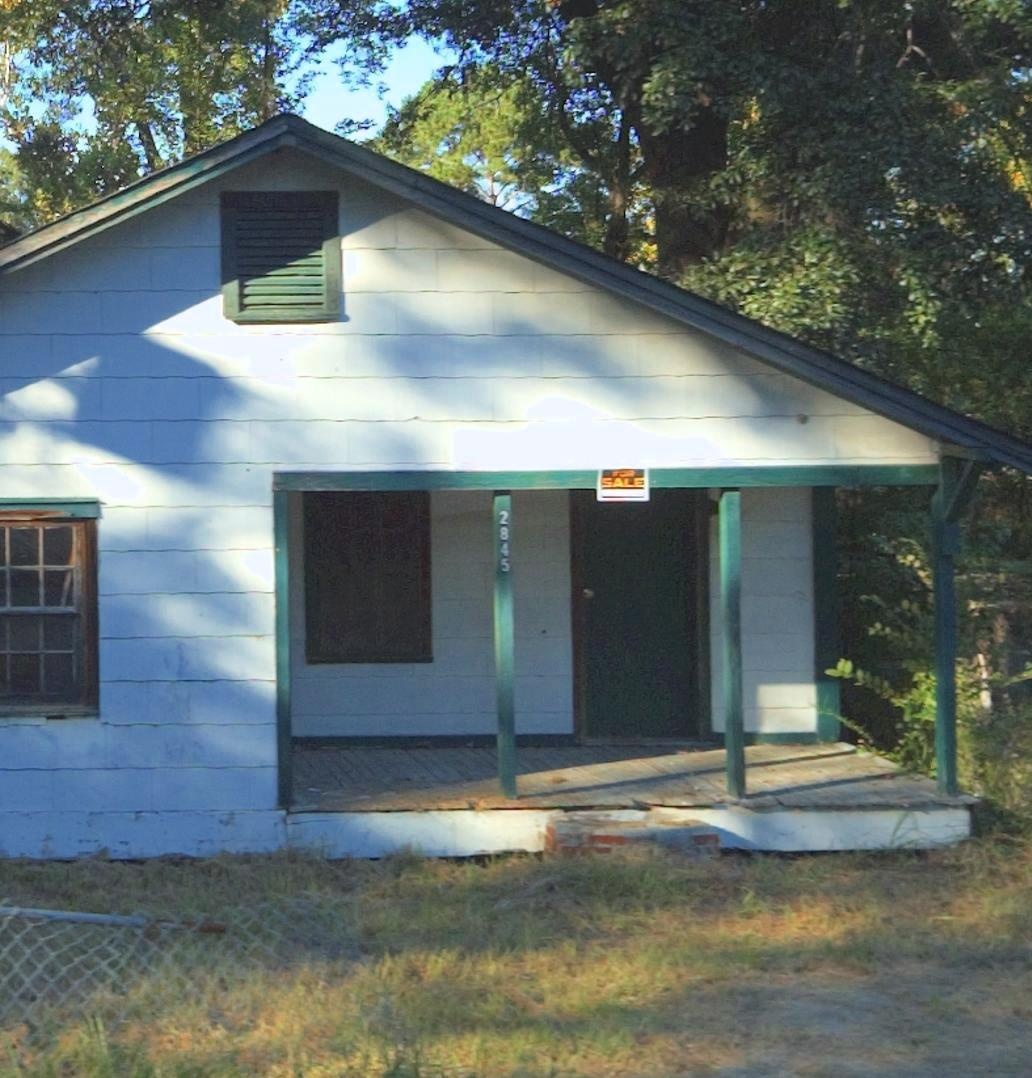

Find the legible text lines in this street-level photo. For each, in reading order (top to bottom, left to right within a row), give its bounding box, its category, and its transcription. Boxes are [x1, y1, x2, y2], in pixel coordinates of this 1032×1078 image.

[610, 470, 636, 477] None: FOR
[601, 477, 645, 489] None: SALE
[498, 510, 511, 573] StreetNumber: 2845